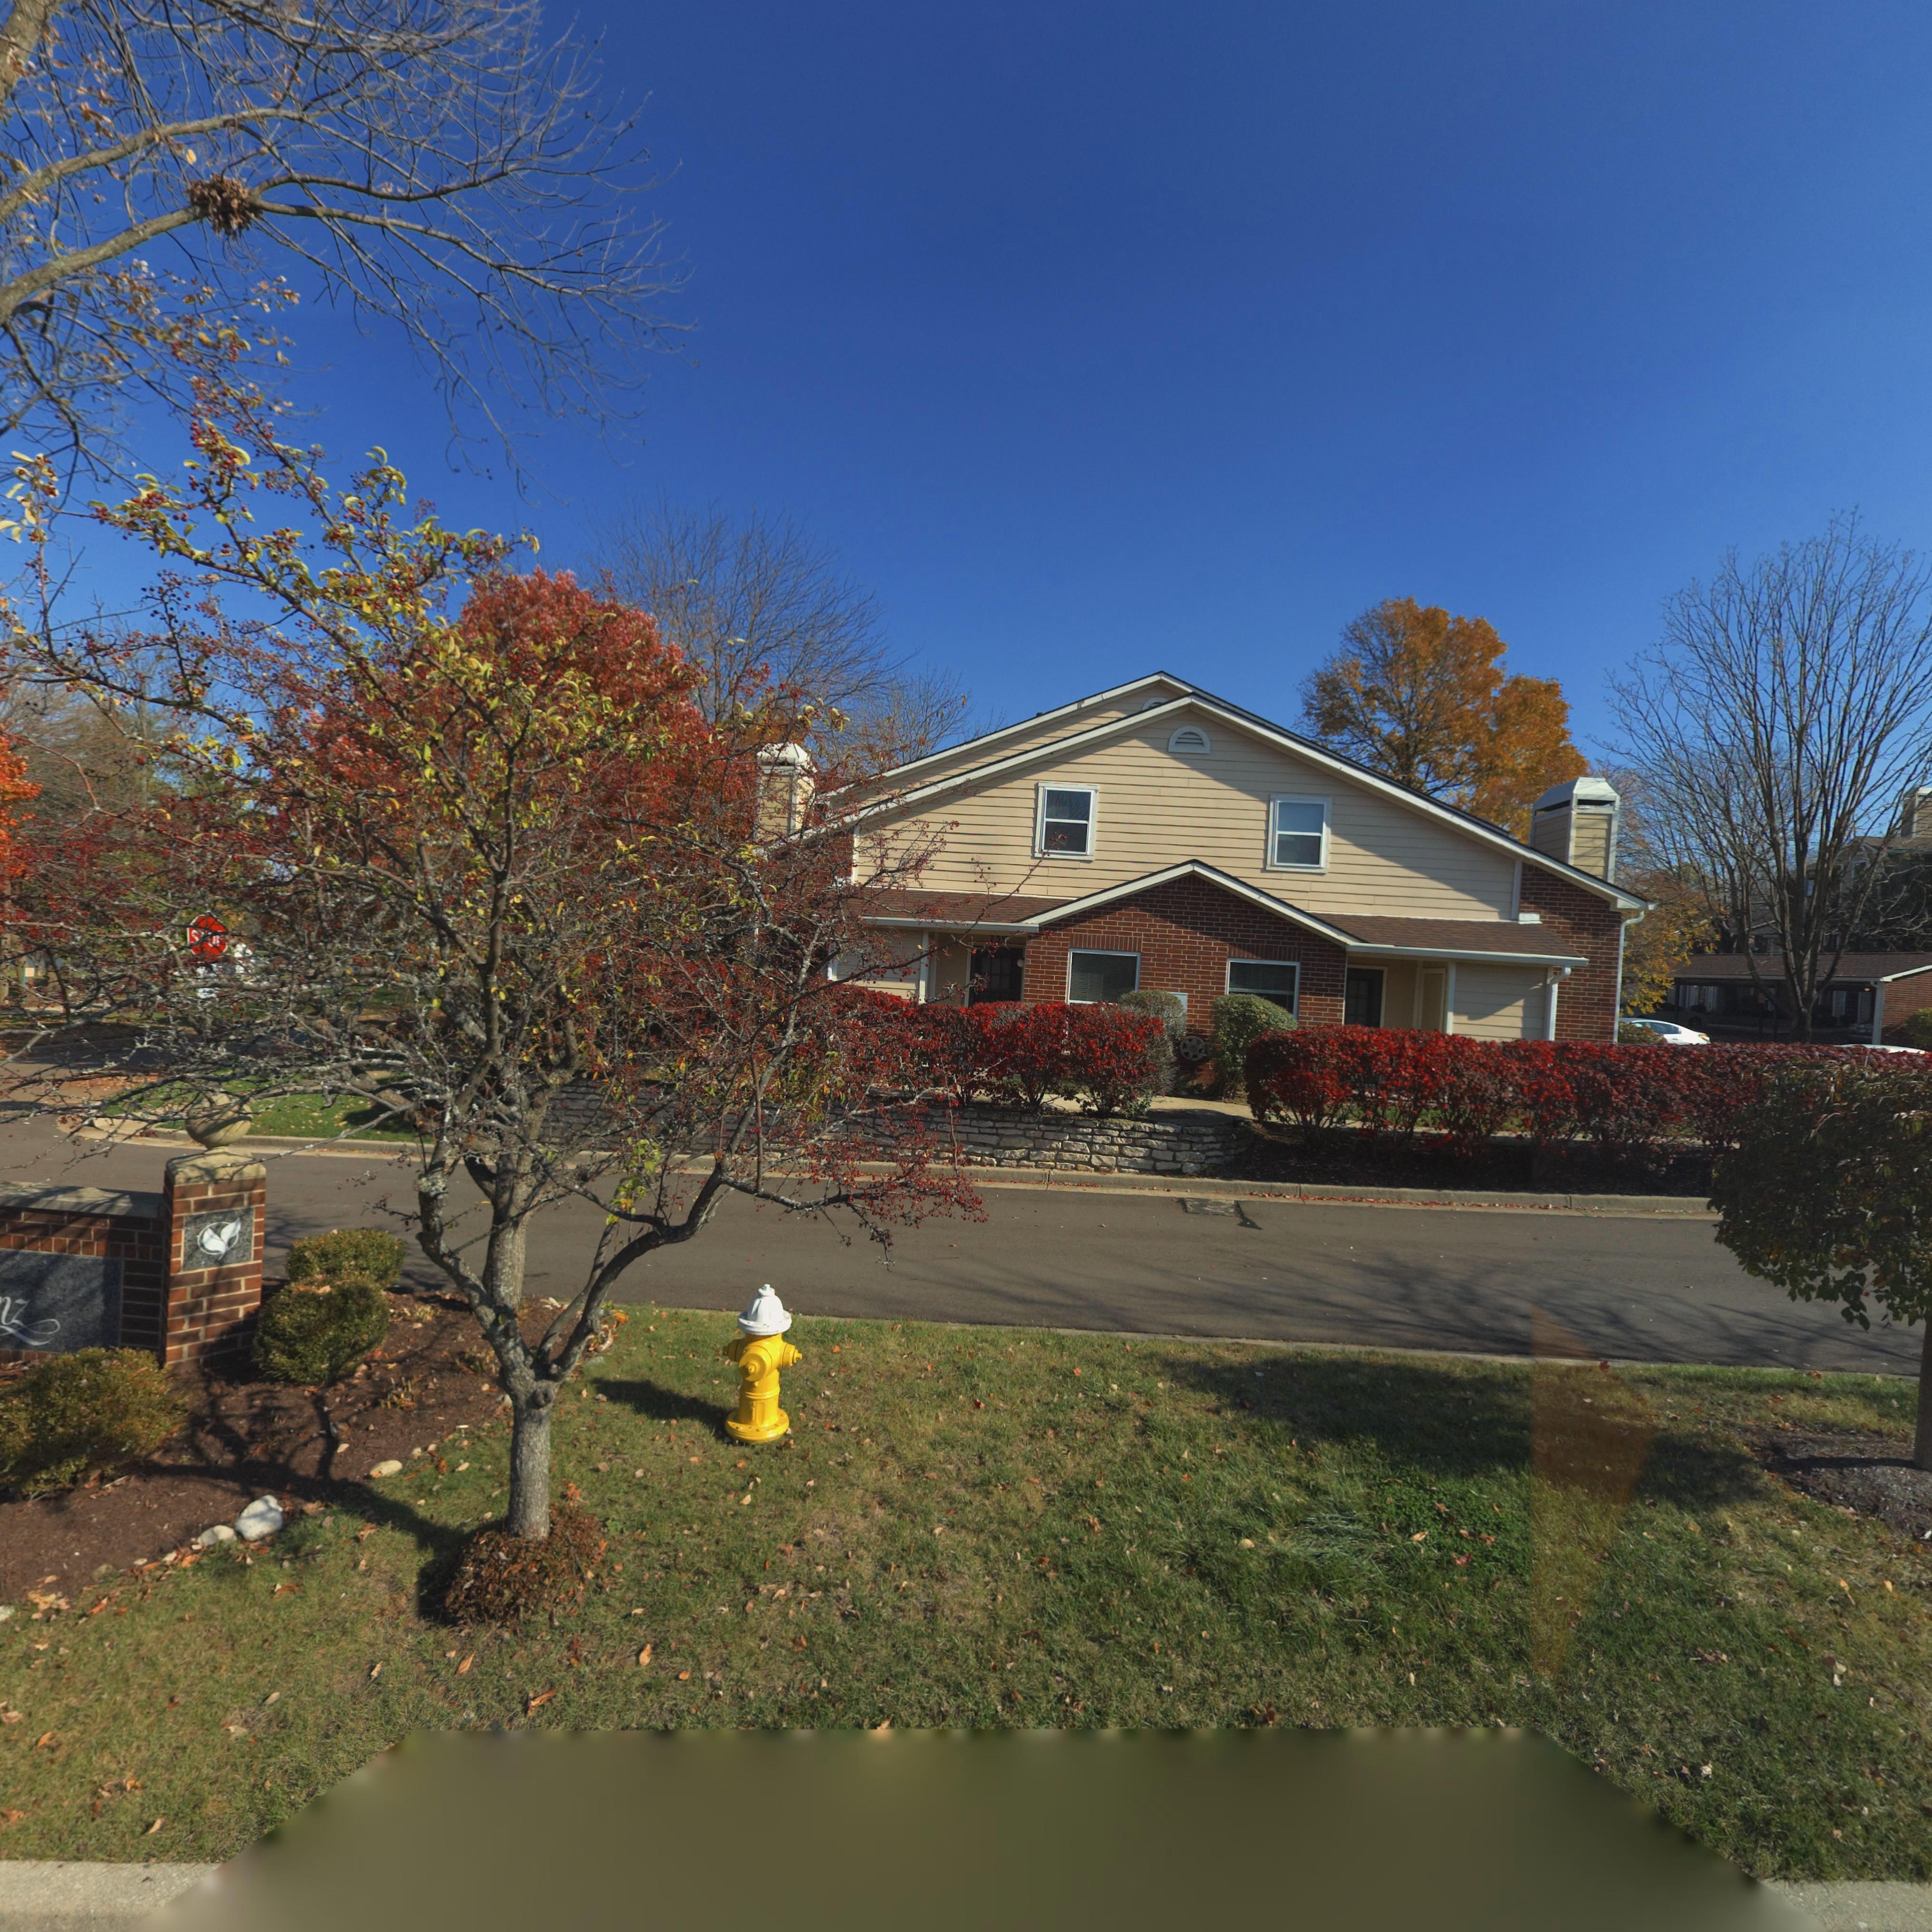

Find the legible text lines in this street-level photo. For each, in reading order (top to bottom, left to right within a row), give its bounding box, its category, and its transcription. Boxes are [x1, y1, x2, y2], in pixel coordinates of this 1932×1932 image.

[989, 934, 1001, 944] StreetNumber: 73